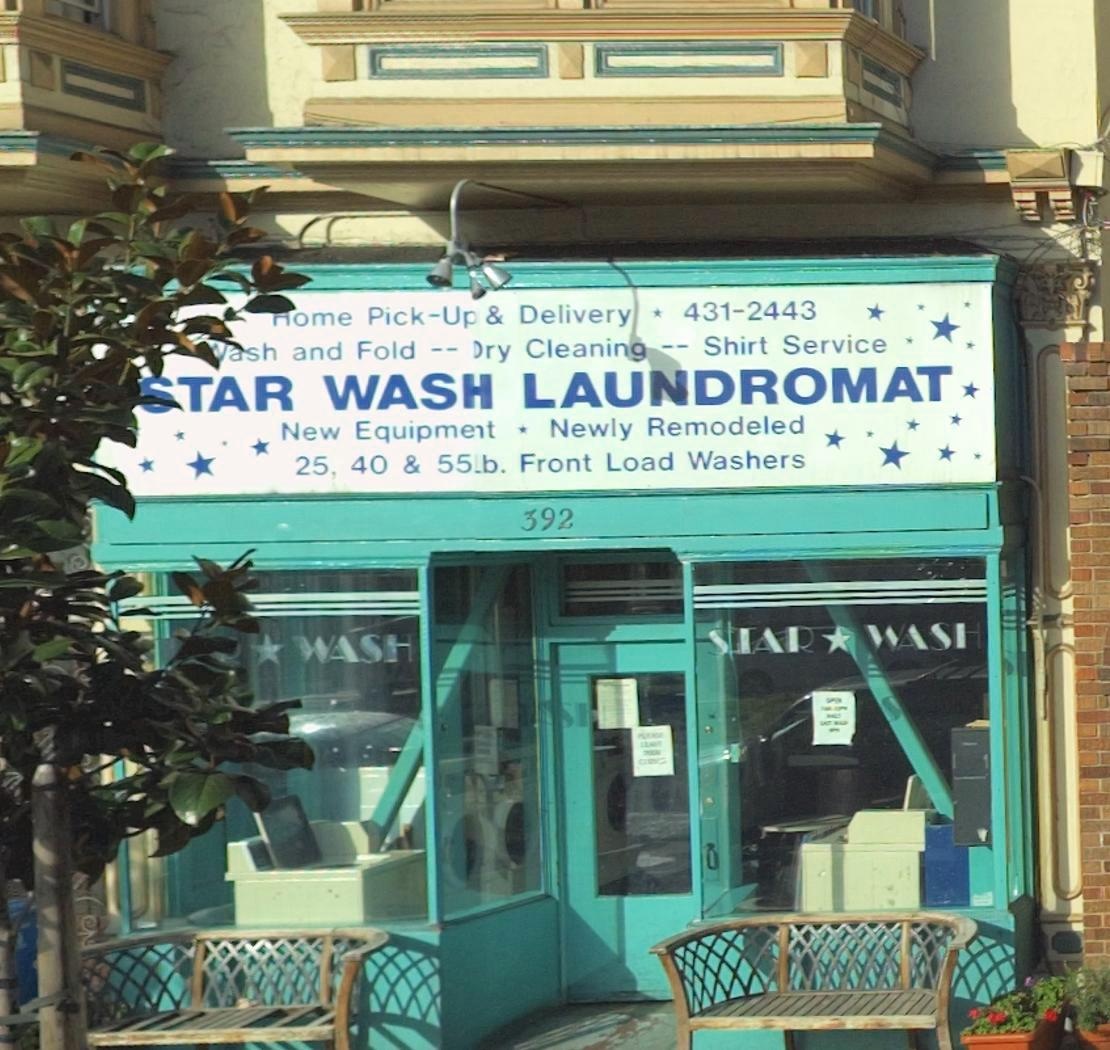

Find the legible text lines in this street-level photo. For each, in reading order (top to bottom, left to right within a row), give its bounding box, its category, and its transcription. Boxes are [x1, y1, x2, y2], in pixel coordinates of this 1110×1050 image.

[270, 304, 634, 328] None: *ome Pick-Up & Delivery
[680, 296, 819, 325] None: 431-2443
[202, 339, 417, 362] None: *ash and Fold
[470, 336, 650, 365] None: Dry Cleaning
[702, 330, 889, 358] None: Shirt Service
[135, 364, 953, 415] BusinessName: *TAR WASH LAUNDROMAT
[276, 418, 499, 442] None: New Equipment
[548, 411, 806, 439] None: Newly Remodeled
[292, 447, 807, 482] None: 25, 40 & 55.b. Front Load Washers
[521, 505, 577, 533] StreetNumber: 392
[290, 630, 416, 667] None: WASH
[703, 617, 985, 659] None: STAR * WASH